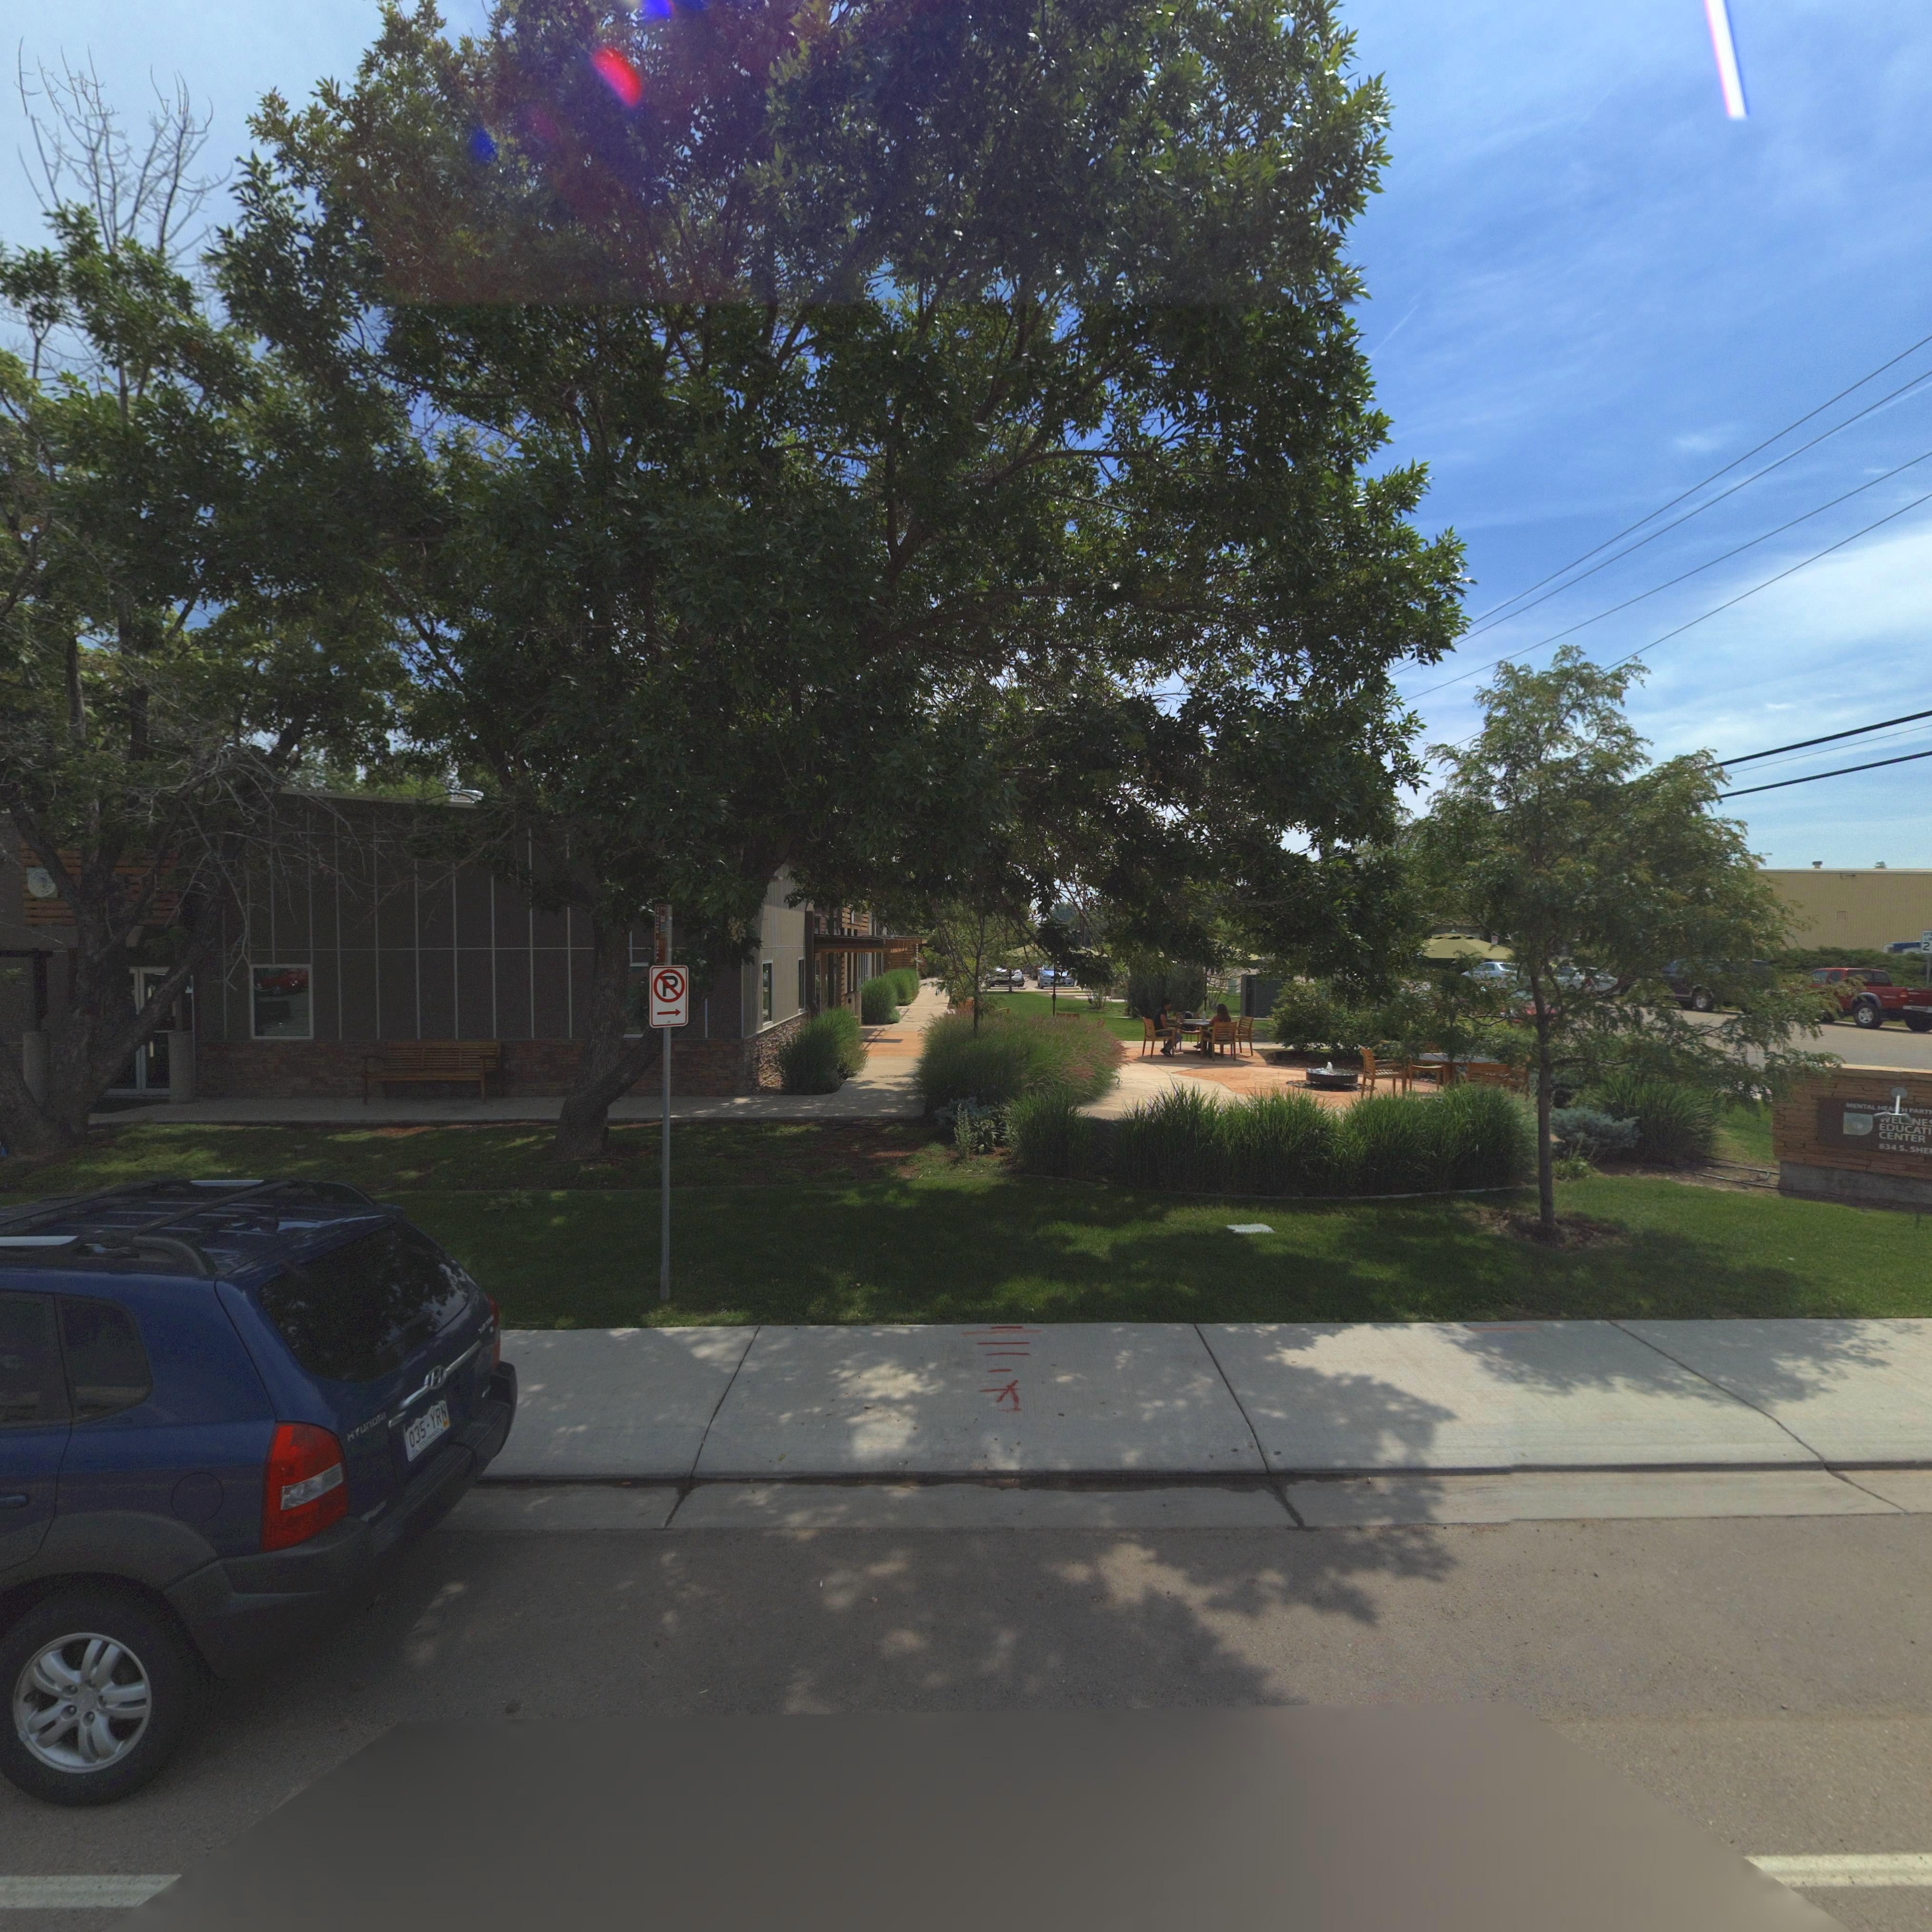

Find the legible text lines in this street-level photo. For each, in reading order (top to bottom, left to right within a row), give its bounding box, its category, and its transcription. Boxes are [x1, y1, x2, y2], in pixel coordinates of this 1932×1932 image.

[1845, 1102, 1930, 1114] BusinessName: MENTAL HEA**H *ART
[1912, 1118, 1928, 1127] BusinessName: NE
[1879, 1123, 1931, 1135] BusinessName: EDUCATI
[1878, 1131, 1925, 1143] BusinessName: CENTER
[1878, 1143, 1896, 1151] StreetNumber: 834
[1898, 1144, 1929, 1154] StreetName: S. SHE